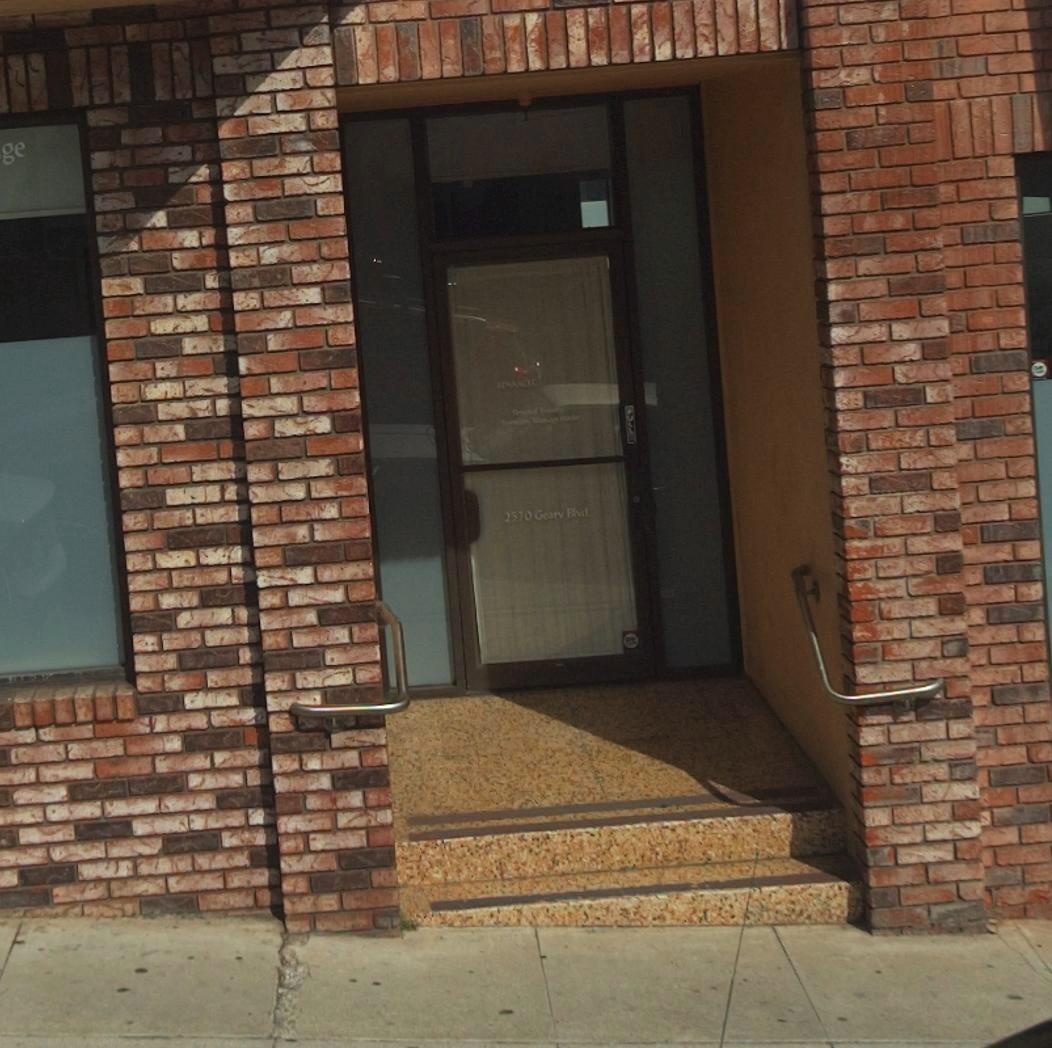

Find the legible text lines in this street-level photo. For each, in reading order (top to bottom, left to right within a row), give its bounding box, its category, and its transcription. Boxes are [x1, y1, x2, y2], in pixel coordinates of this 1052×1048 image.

[0, 139, 29, 168] None: ge
[500, 507, 534, 527] StreetNumber: 2570
[533, 504, 592, 523] StreetName: Geary Blvd